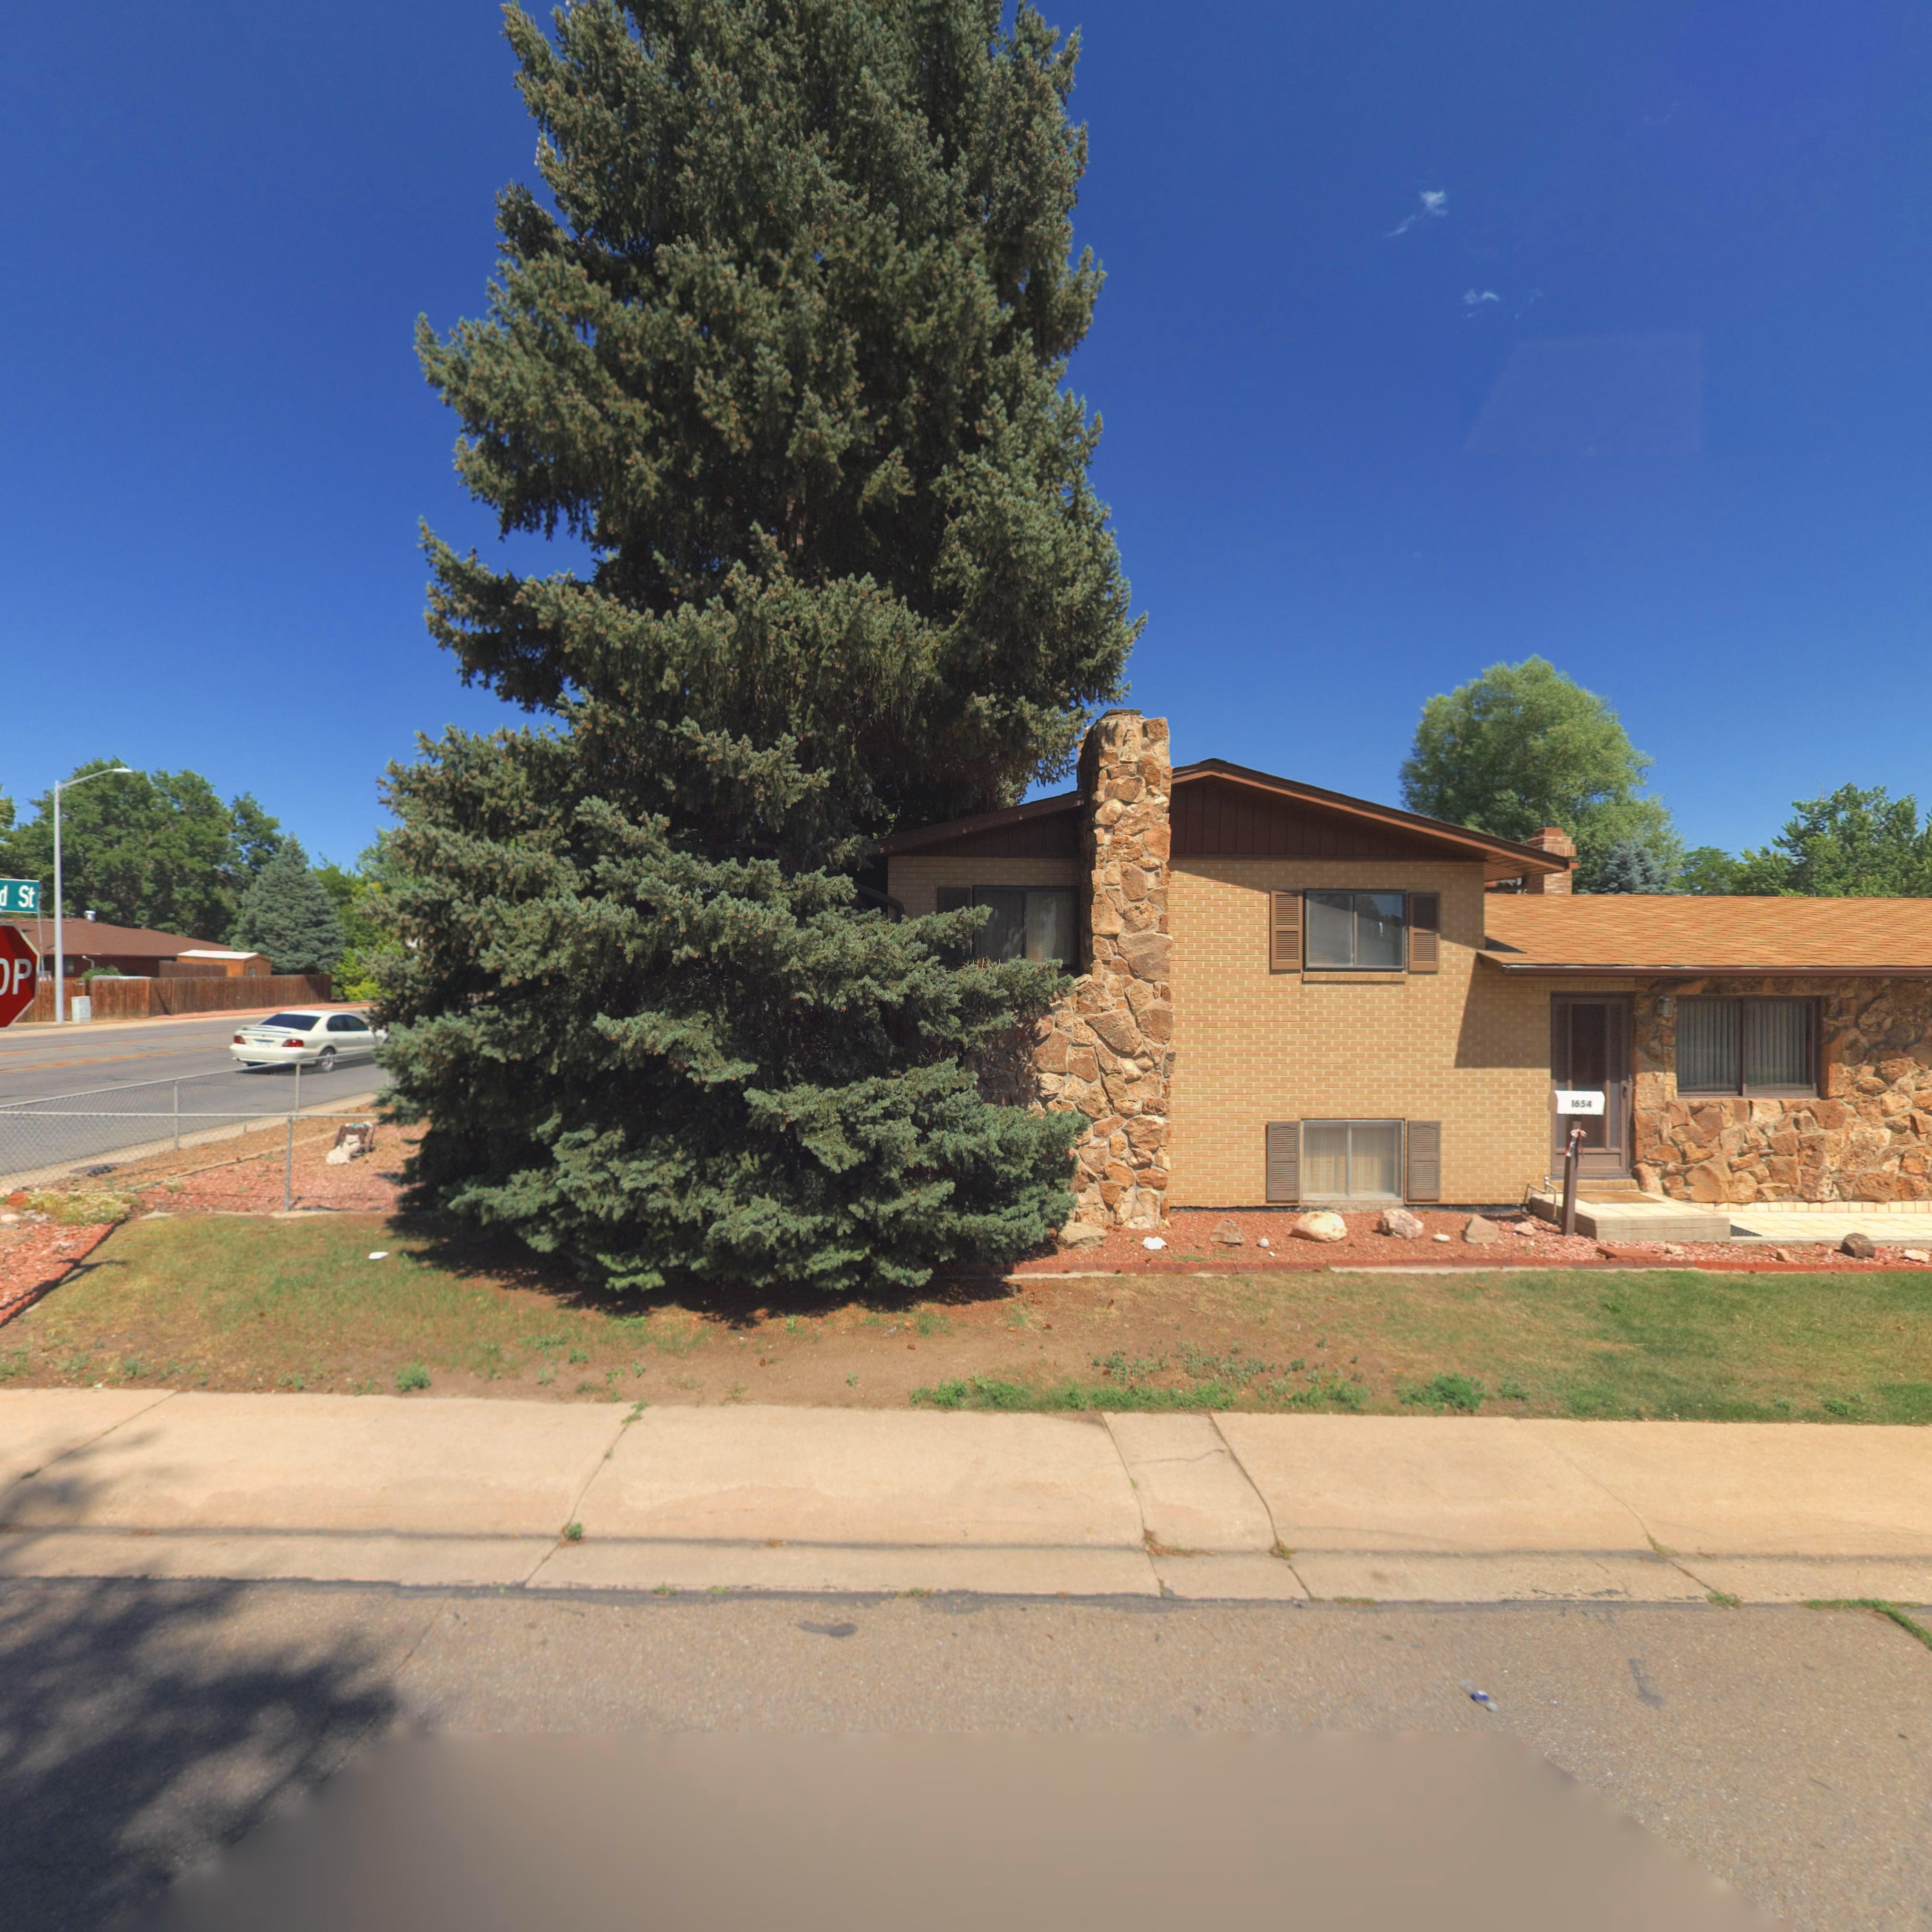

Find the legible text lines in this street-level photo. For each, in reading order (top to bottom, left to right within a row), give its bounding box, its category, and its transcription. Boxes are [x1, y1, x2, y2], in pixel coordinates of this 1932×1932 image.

[17, 884, 37, 909] StreetName: St
[1571, 1099, 1592, 1108] StreetNumber: 1654